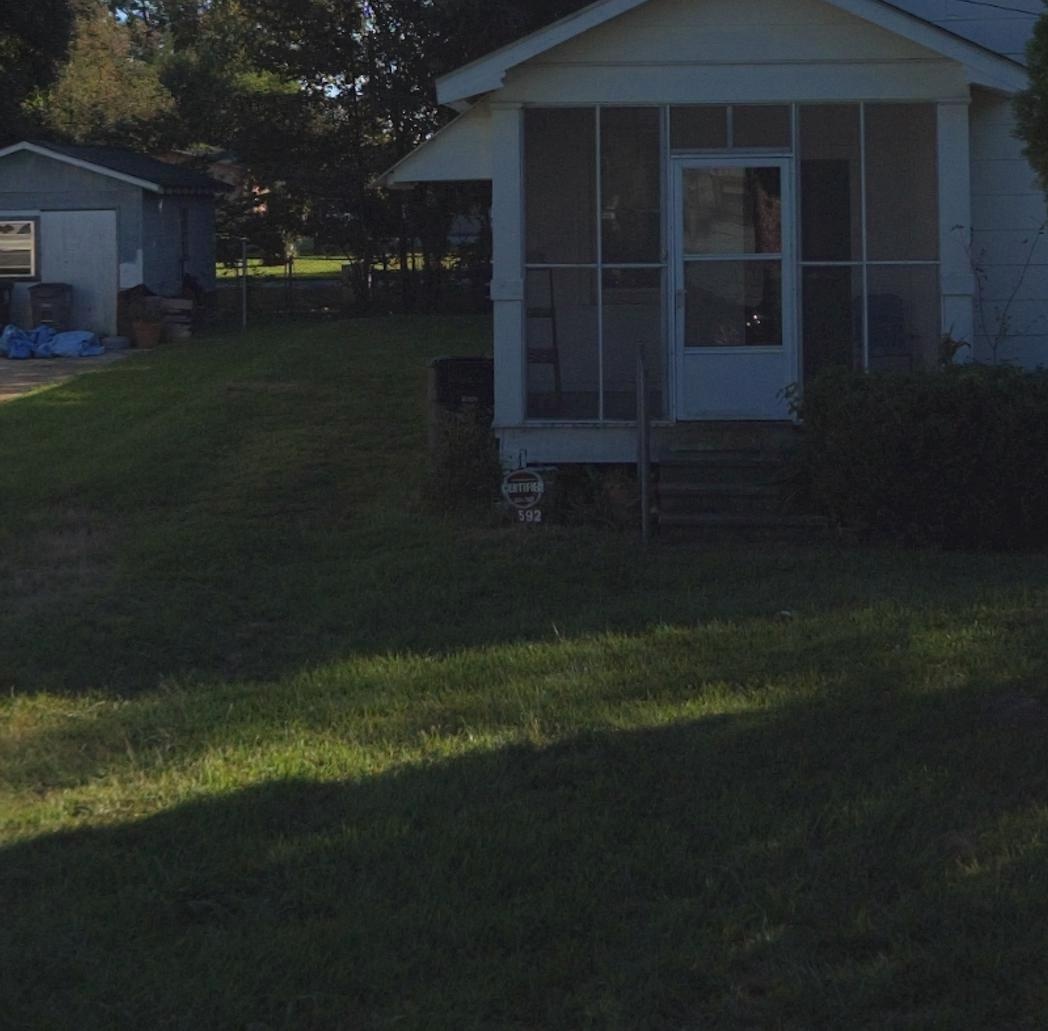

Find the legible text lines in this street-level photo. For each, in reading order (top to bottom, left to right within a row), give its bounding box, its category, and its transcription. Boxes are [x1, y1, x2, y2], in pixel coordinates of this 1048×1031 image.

[499, 482, 544, 494] None: CERTIFIED
[517, 508, 543, 523] StreetNumber: 592